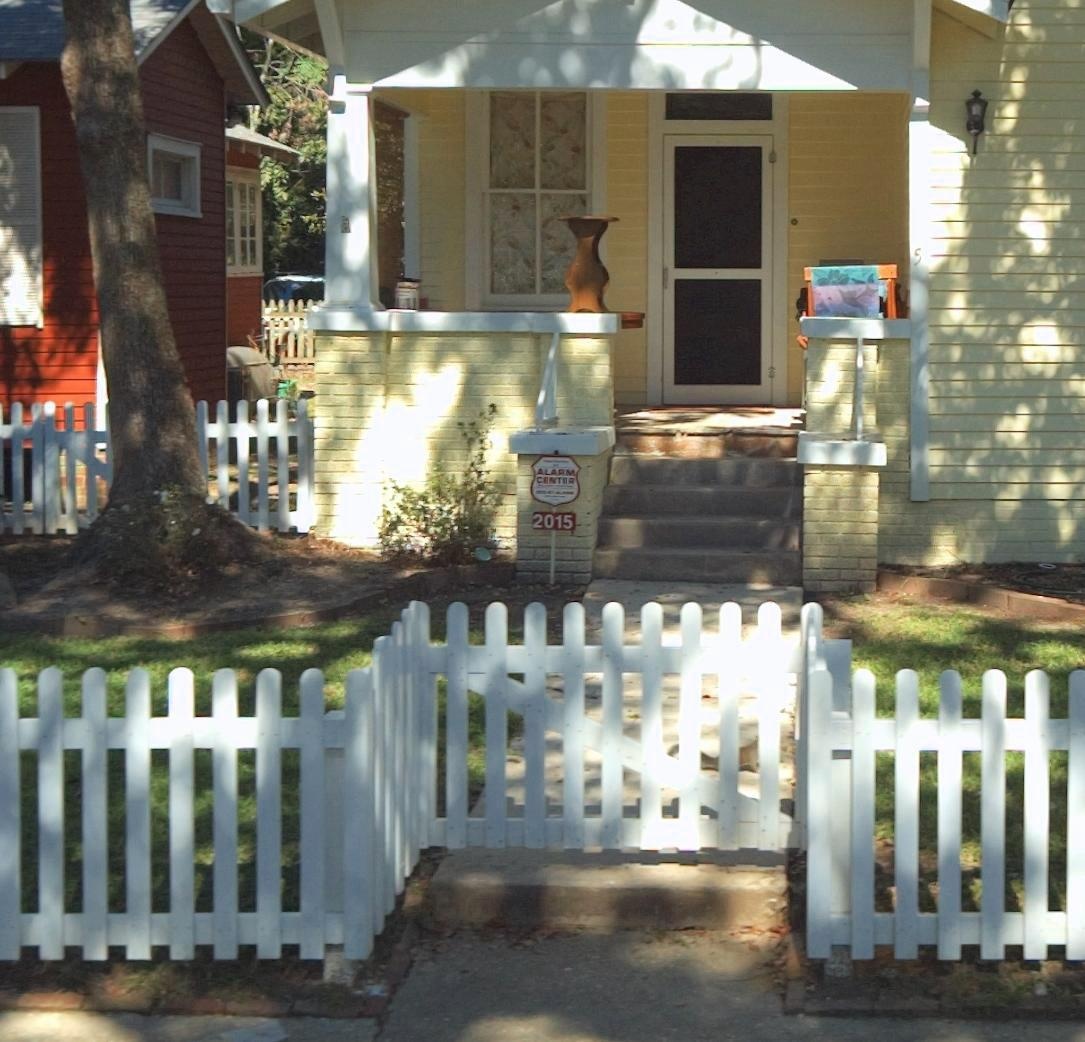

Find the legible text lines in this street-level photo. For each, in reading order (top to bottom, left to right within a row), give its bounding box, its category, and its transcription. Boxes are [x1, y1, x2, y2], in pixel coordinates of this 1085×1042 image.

[912, 244, 924, 269] StreetNumber: 5
[534, 474, 577, 487] None: C*NT**
[534, 466, 578, 478] None: ALARM
[531, 512, 575, 531] StreetNumber: 2015